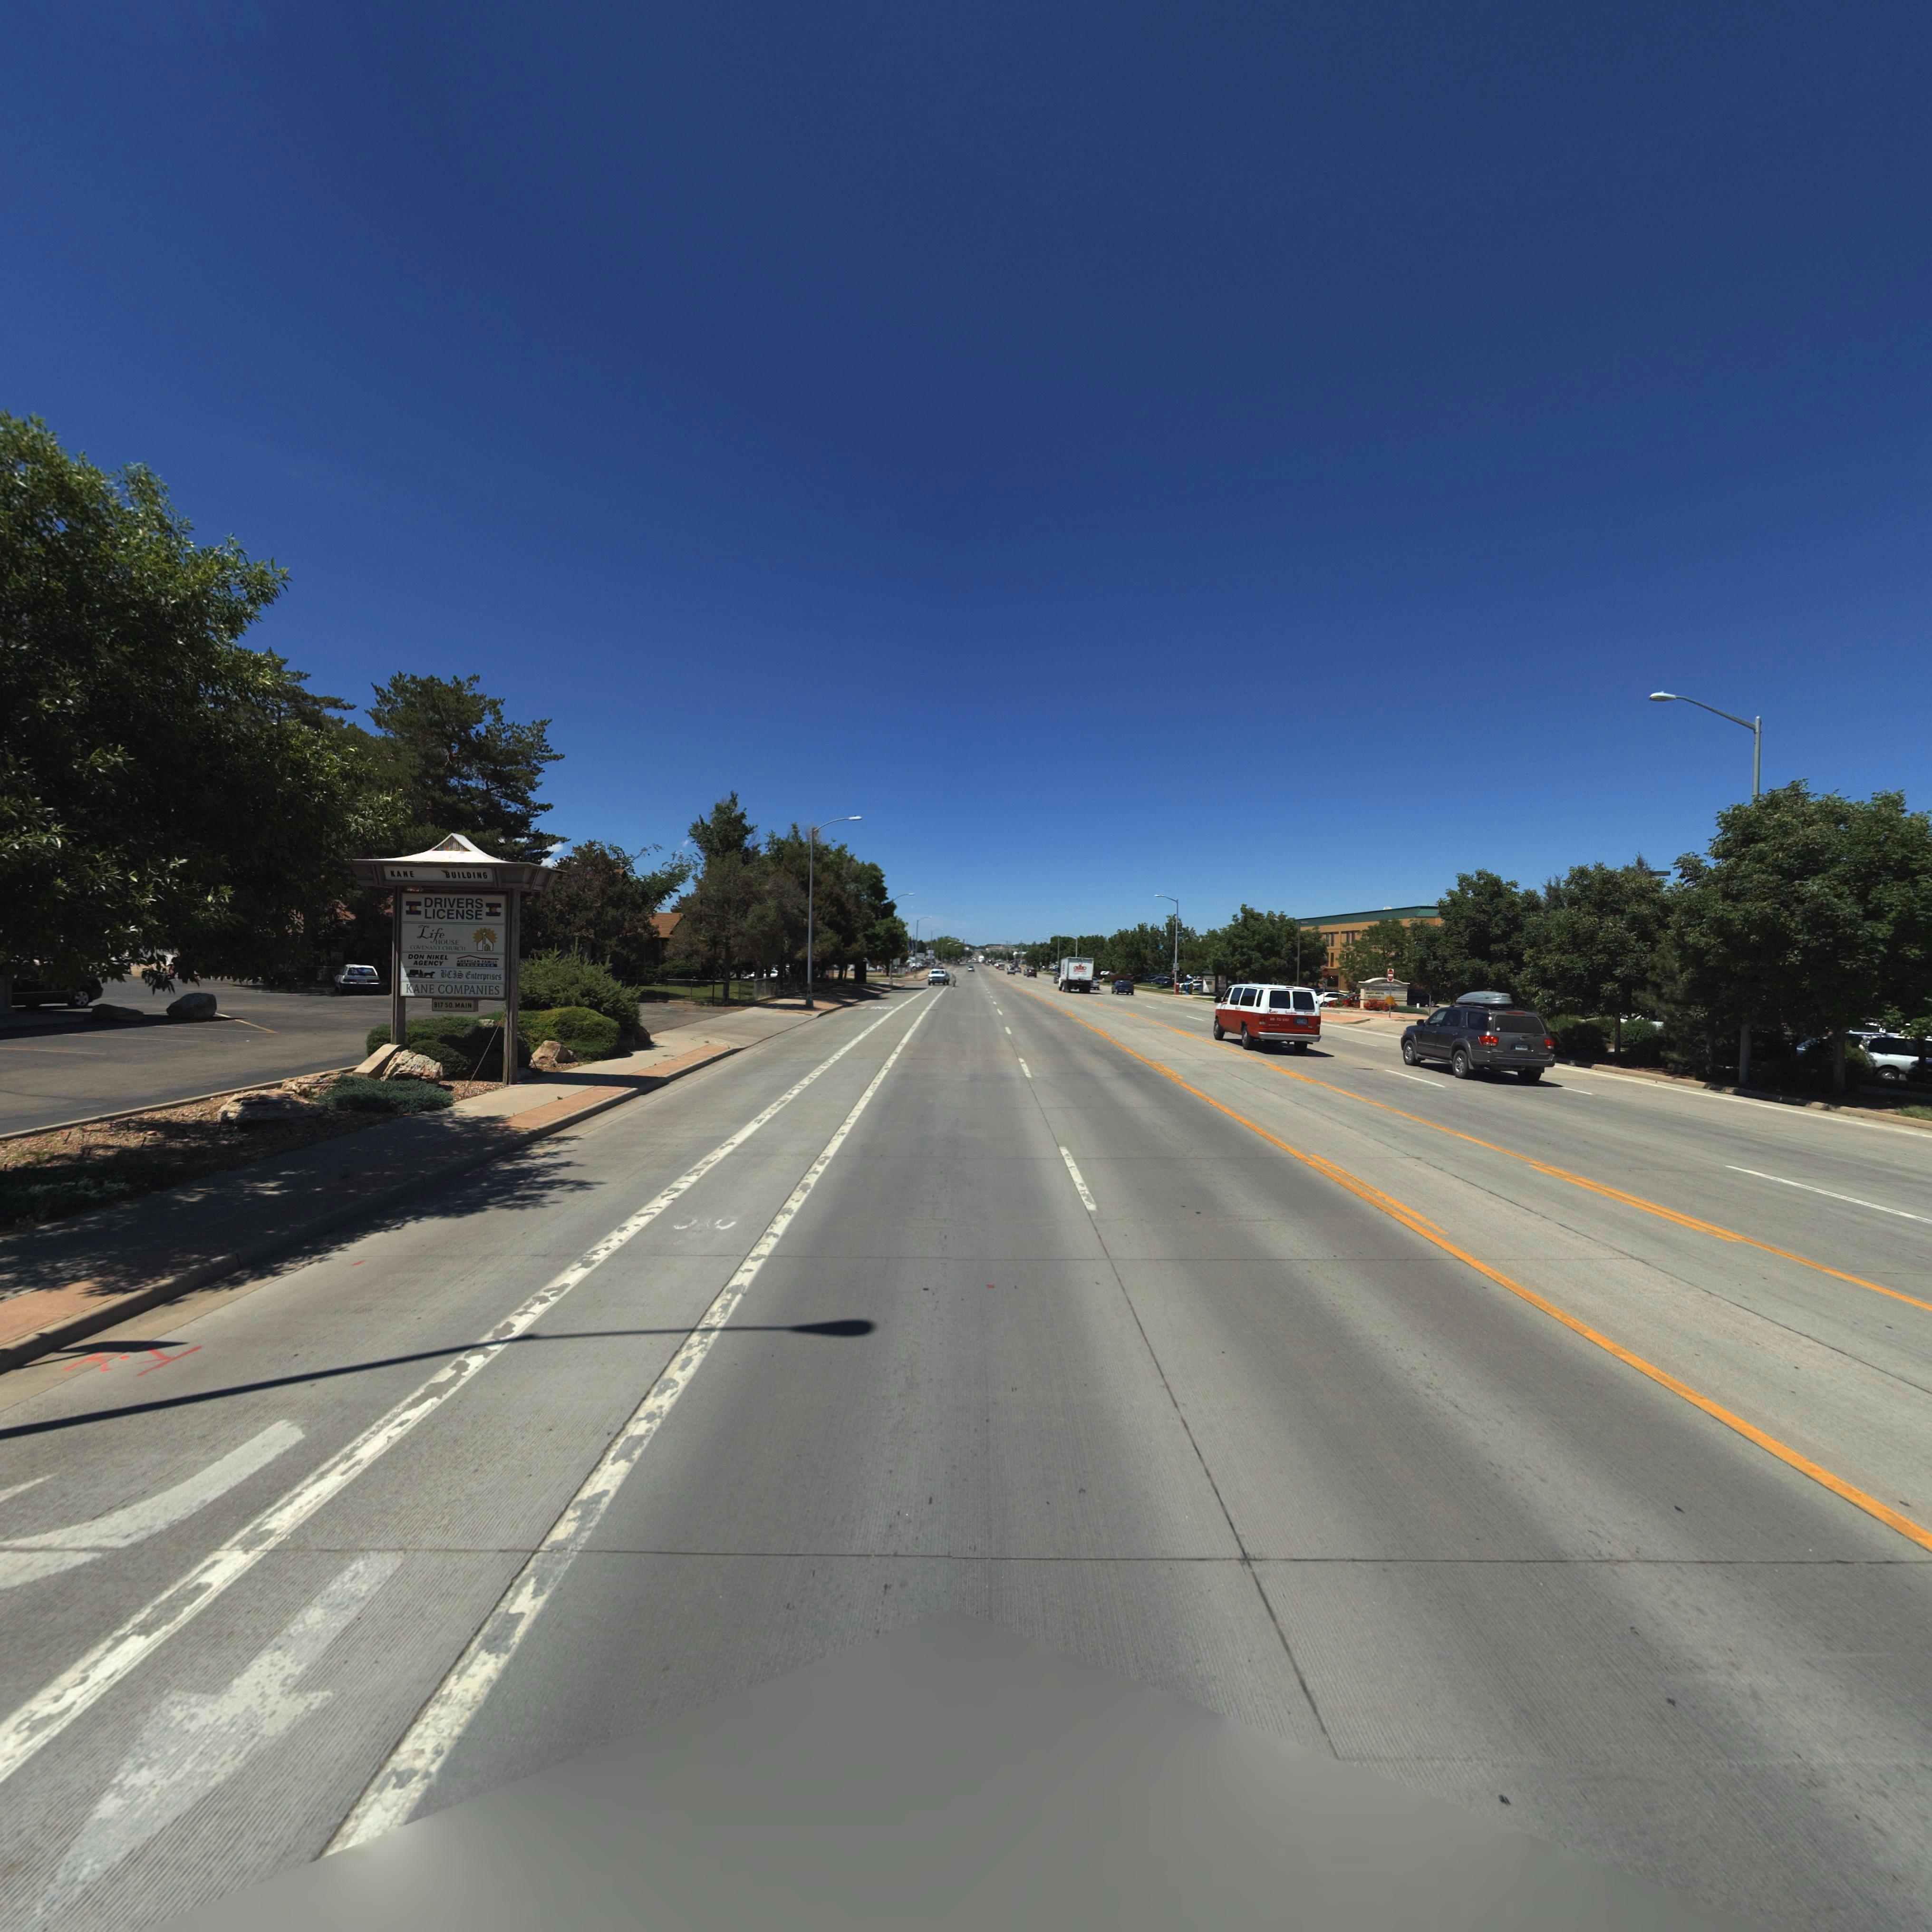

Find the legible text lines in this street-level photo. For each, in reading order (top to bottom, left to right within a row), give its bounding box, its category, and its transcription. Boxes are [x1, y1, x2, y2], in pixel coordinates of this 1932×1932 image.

[416, 925, 444, 943] BusinessName: Life
[435, 939, 459, 945] BusinessName: HOUSE
[409, 944, 465, 951] BusinessName: COVENANT CHURCH
[406, 953, 448, 960] BusinessName: DON NIKEL 
[412, 960, 444, 966] BusinessName: AGENCY 
[460, 963, 493, 966] BusinessName: INSURANCE
[456, 959, 497, 964] BusinessName: AMERICAN FAMILY
[440, 969, 502, 981] BusinessName: BCIS Enterprises
[406, 983, 500, 995] BusinessName: KANE COMPANIES
[434, 1002, 444, 1008] StreetNumber: 917
[444, 1002, 471, 1008] StreetName: SO. MAIN